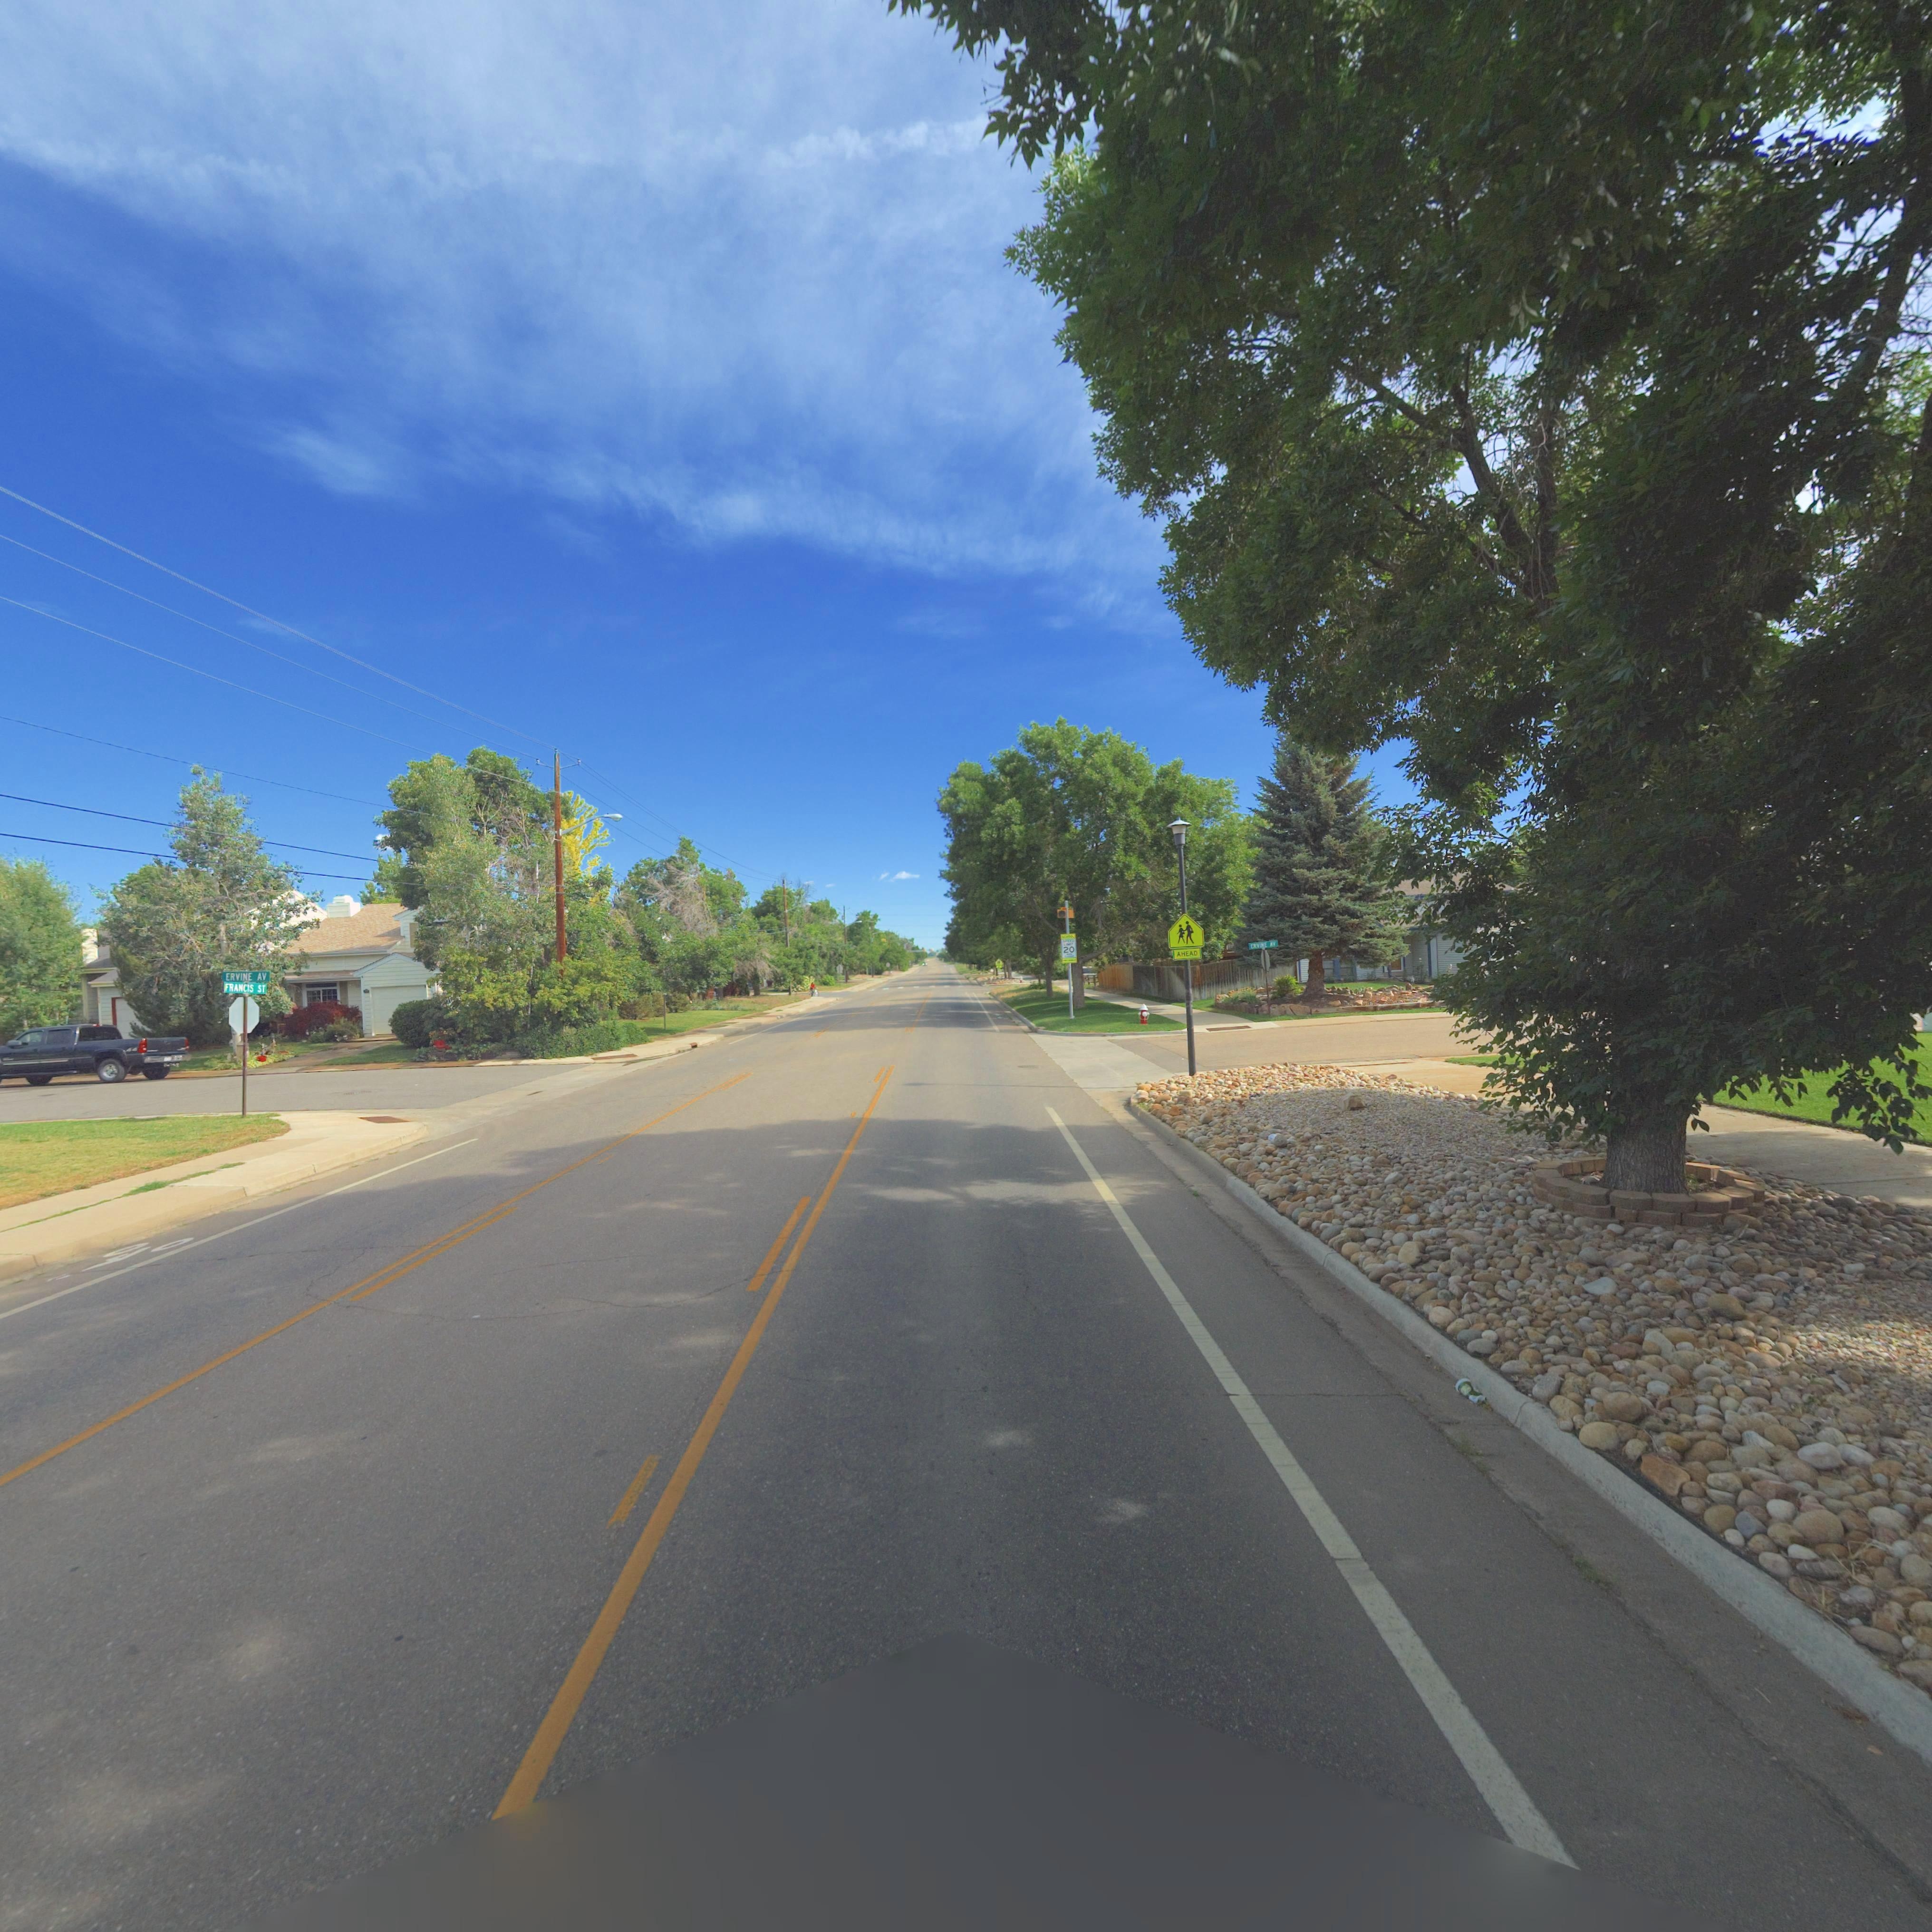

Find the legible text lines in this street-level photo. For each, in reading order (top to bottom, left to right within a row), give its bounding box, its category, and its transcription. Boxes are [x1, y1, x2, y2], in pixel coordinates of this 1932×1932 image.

[1250, 941, 1276, 949] StreetName: ERVINE AV
[225, 972, 267, 981] StreetName: ERVINE AV
[224, 983, 266, 993] StreetName: FRANCIS ST